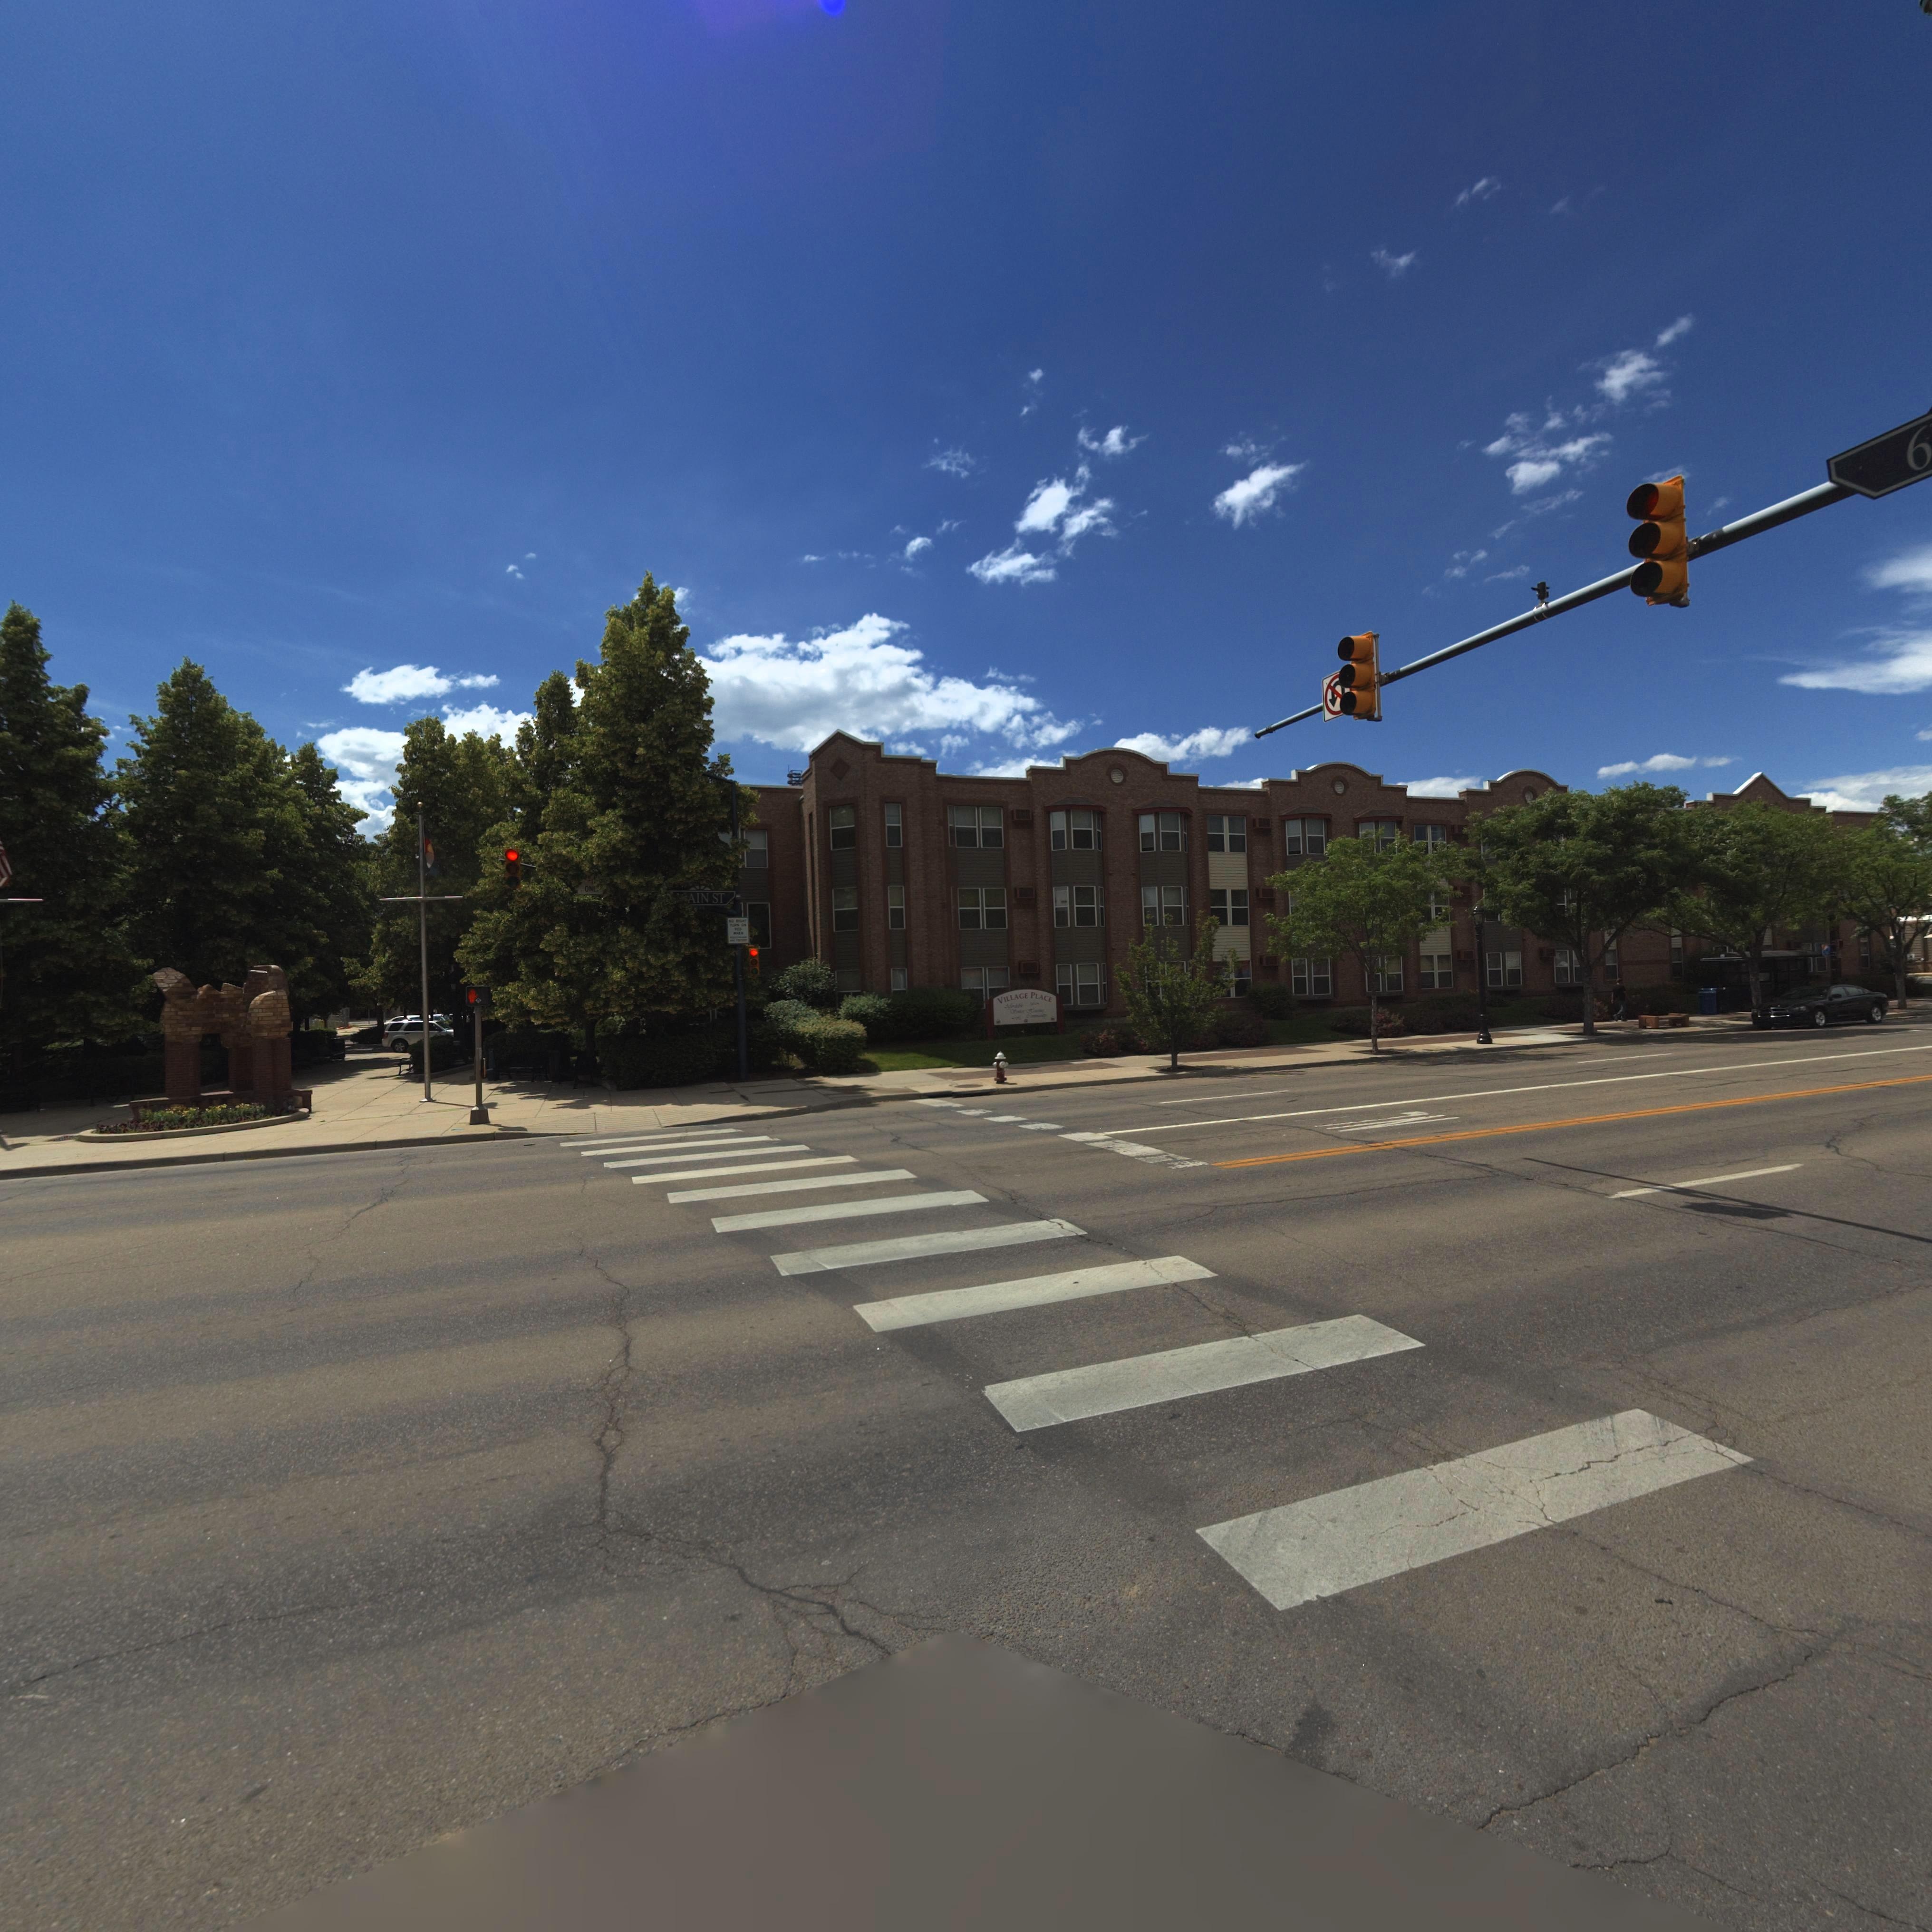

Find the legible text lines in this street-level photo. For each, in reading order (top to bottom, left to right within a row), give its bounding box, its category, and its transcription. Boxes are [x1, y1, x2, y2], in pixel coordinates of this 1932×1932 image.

[1906, 424, 1932, 470] StreetName: 6
[687, 892, 725, 903] StreetName: AIN ST
[996, 992, 1053, 1004] BusinessName: VILLAGE PLACE